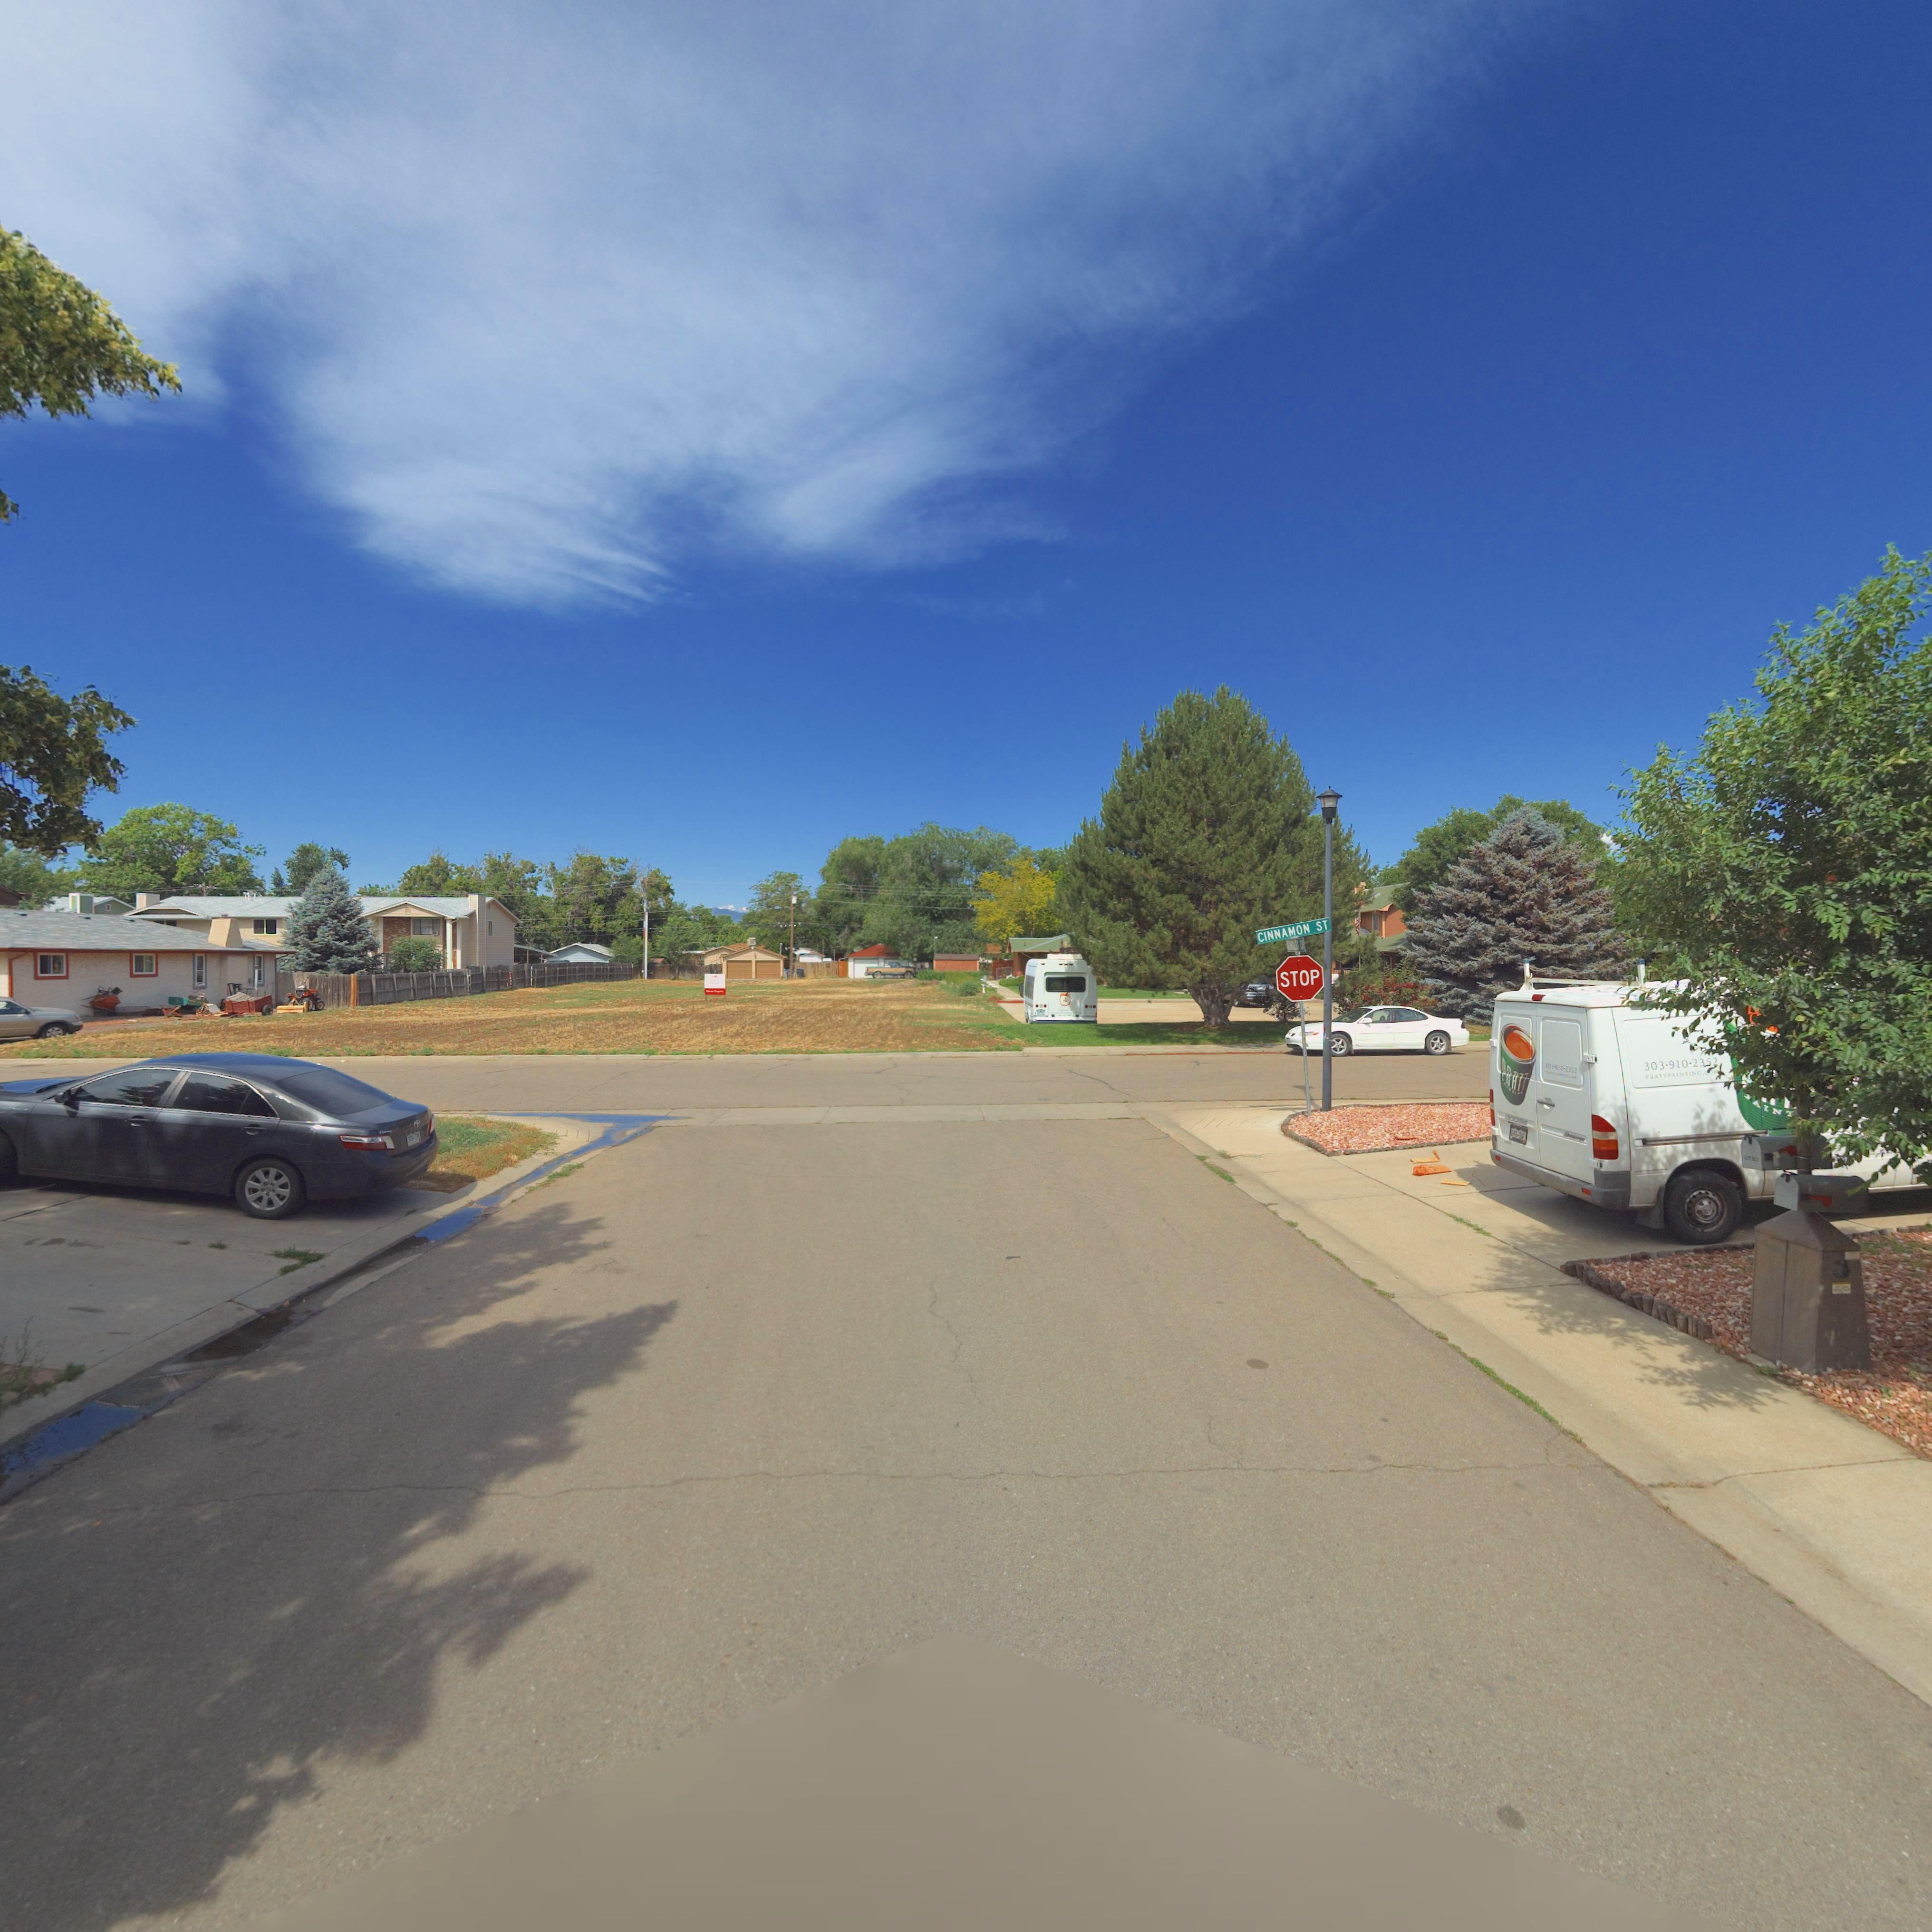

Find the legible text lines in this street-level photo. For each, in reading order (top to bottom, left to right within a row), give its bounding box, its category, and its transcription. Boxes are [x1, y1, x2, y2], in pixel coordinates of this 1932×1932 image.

[1257, 919, 1328, 942] StreetName: CINNAMON ST
[1285, 939, 1306, 951] StreetName: *****E* C**